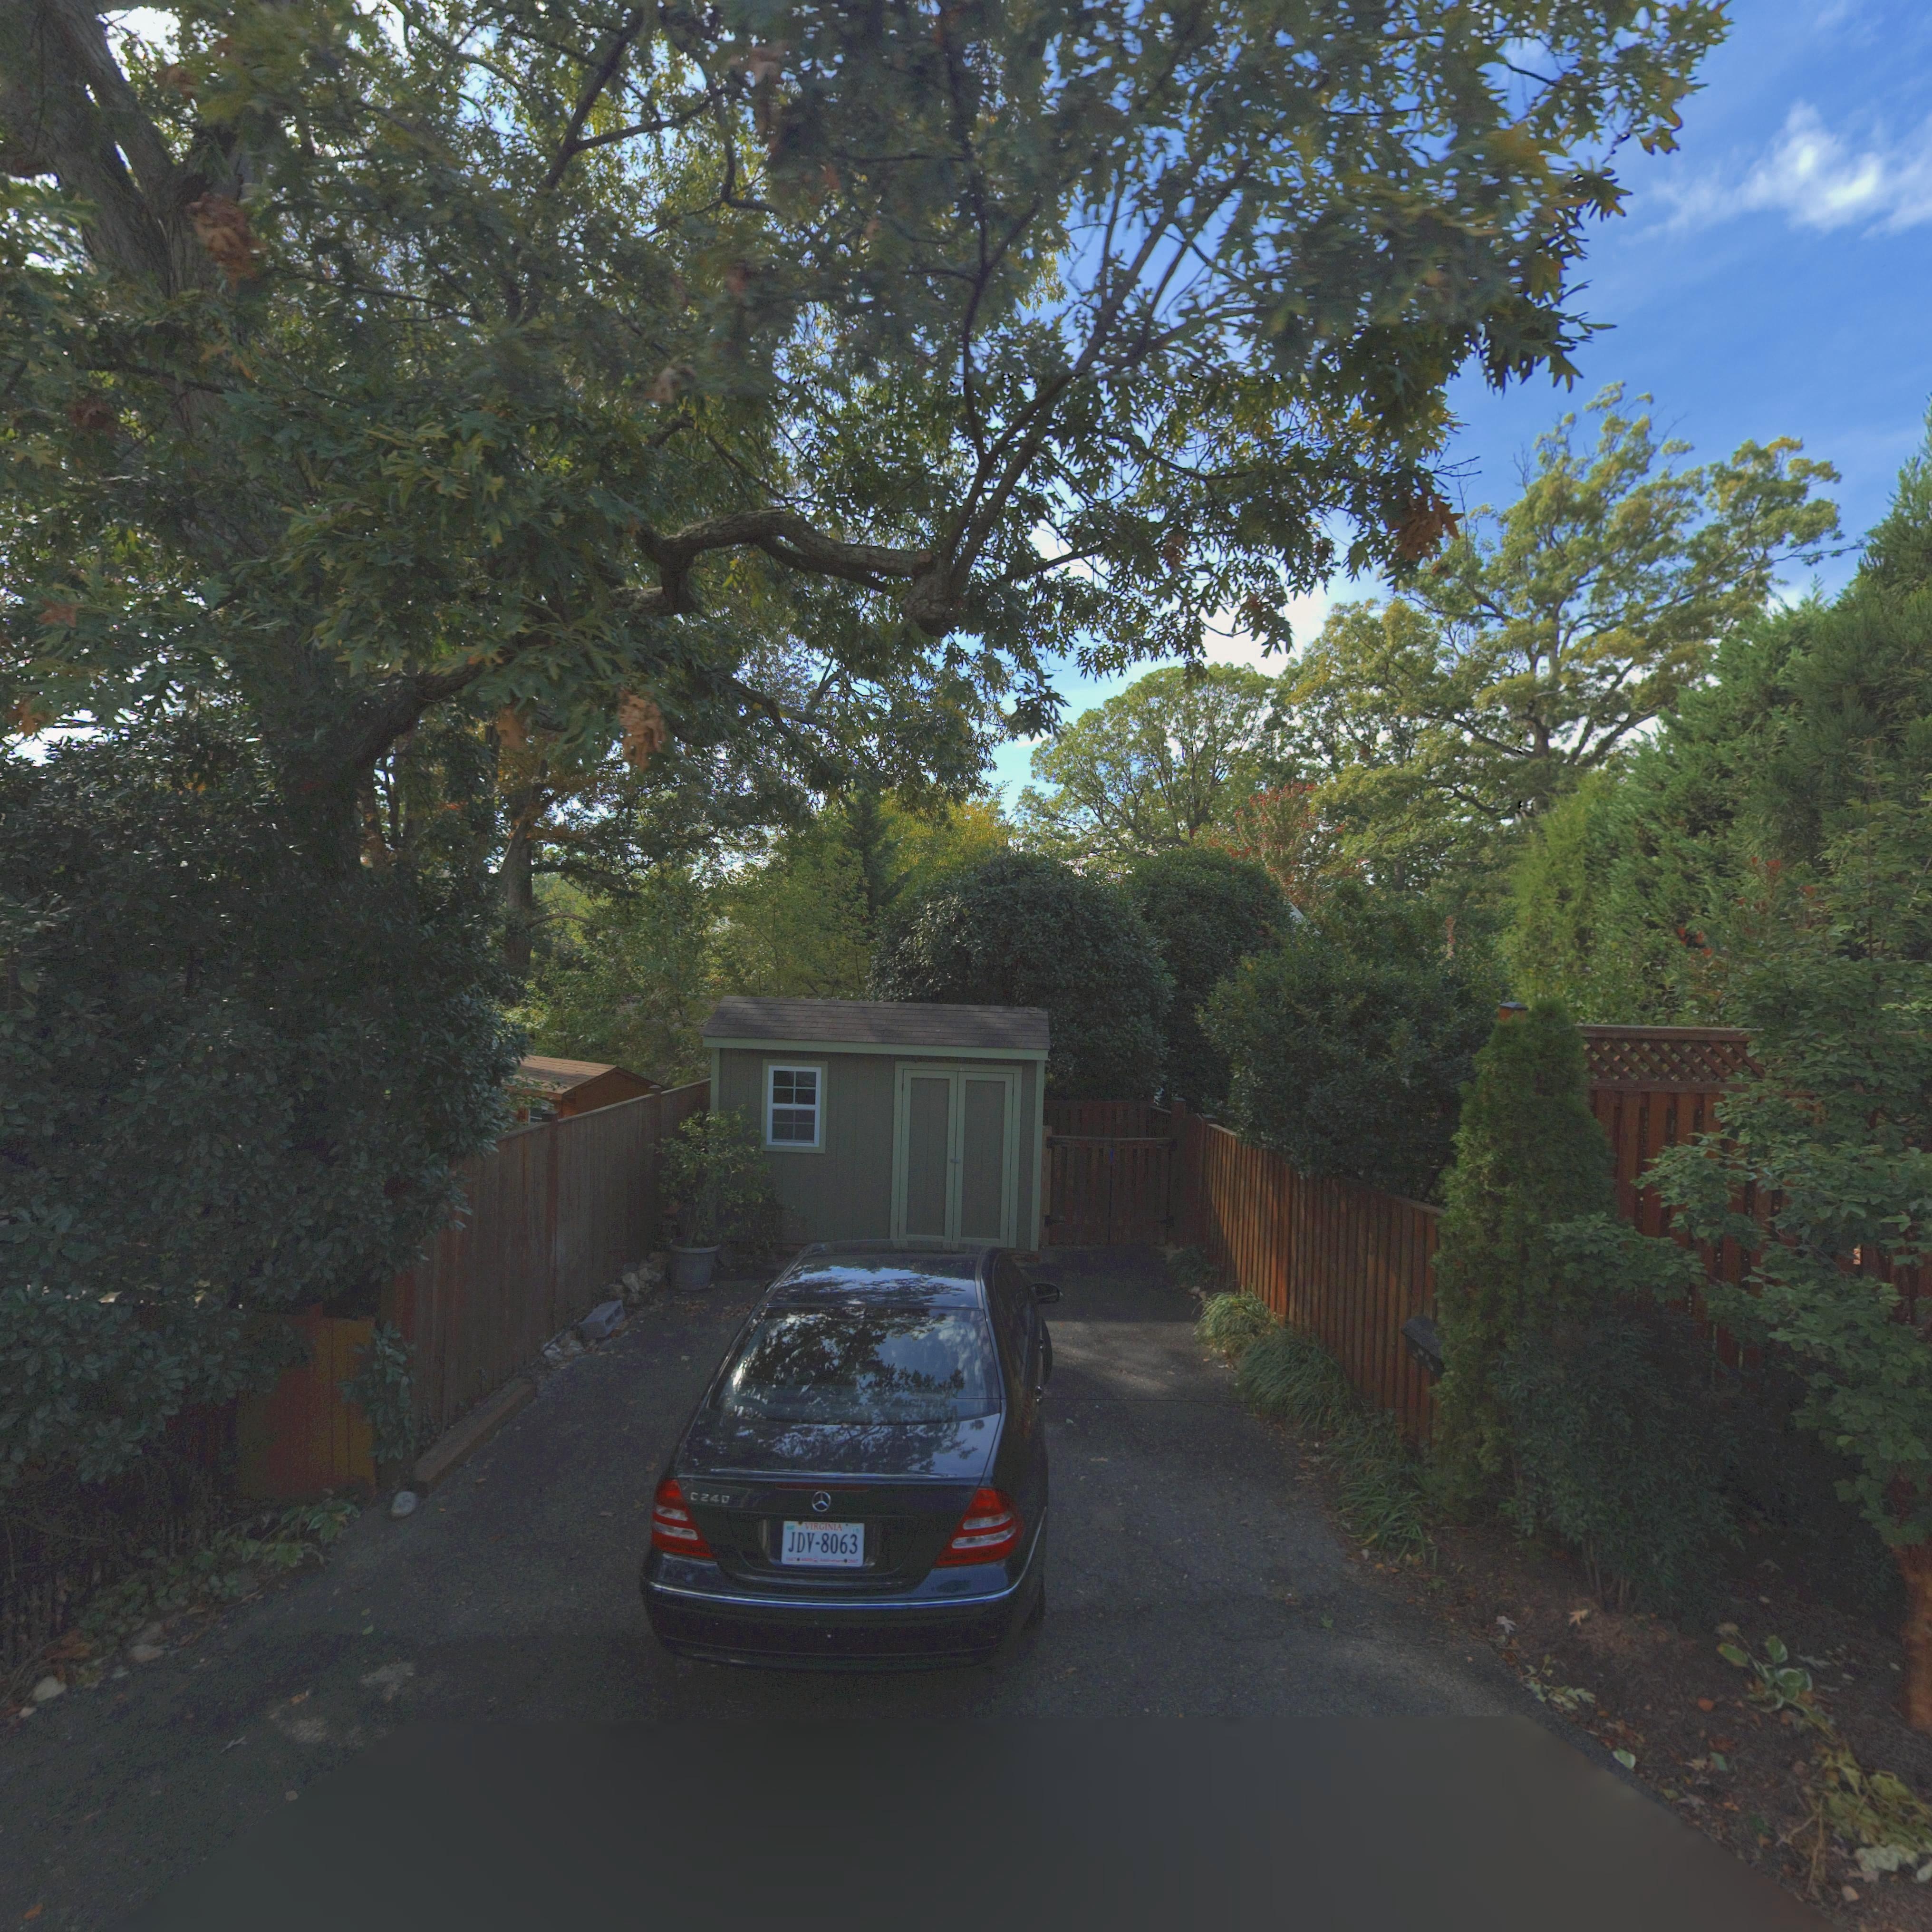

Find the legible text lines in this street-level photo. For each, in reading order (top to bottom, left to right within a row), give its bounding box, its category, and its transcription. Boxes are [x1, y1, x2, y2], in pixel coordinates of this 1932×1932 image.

[688, 1489, 732, 1505] None: C240
[802, 1521, 845, 1532] None: VIRGINIA
[786, 1530, 860, 1557] None: JDV-8063